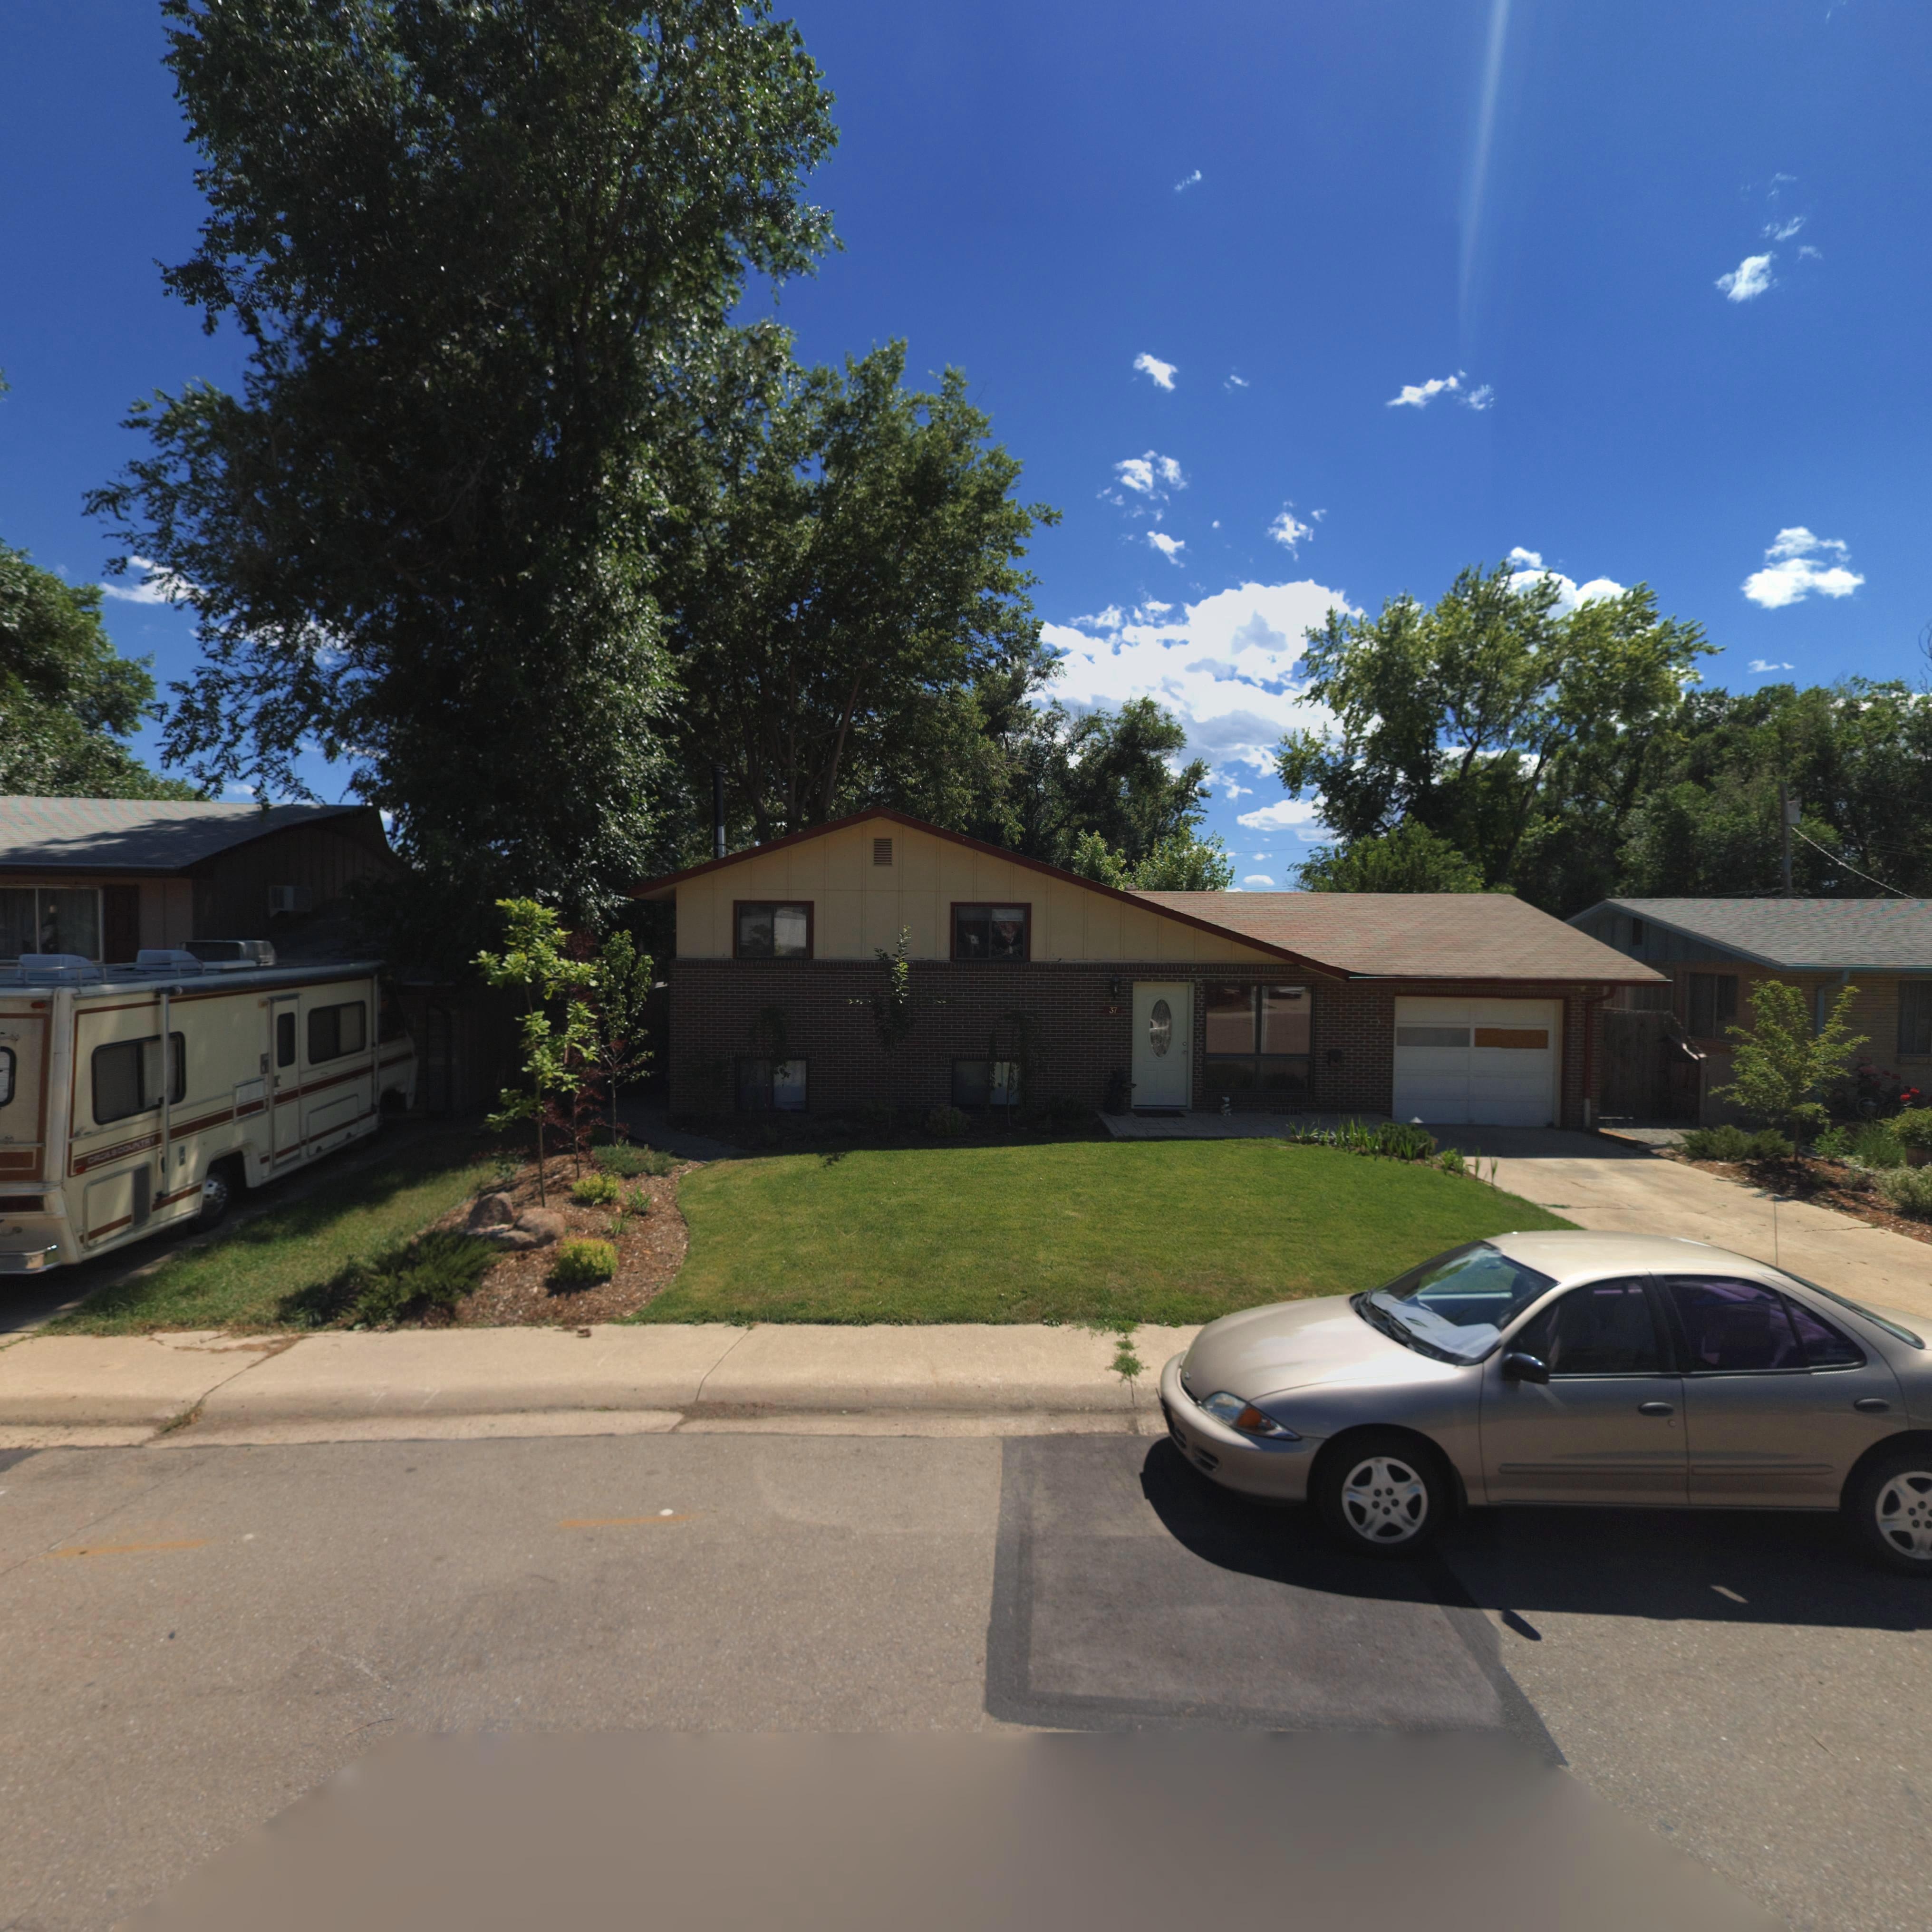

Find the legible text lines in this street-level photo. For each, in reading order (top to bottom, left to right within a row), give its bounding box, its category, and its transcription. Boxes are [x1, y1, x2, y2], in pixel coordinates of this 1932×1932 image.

[1109, 1006, 1118, 1014] StreetNumber: 37